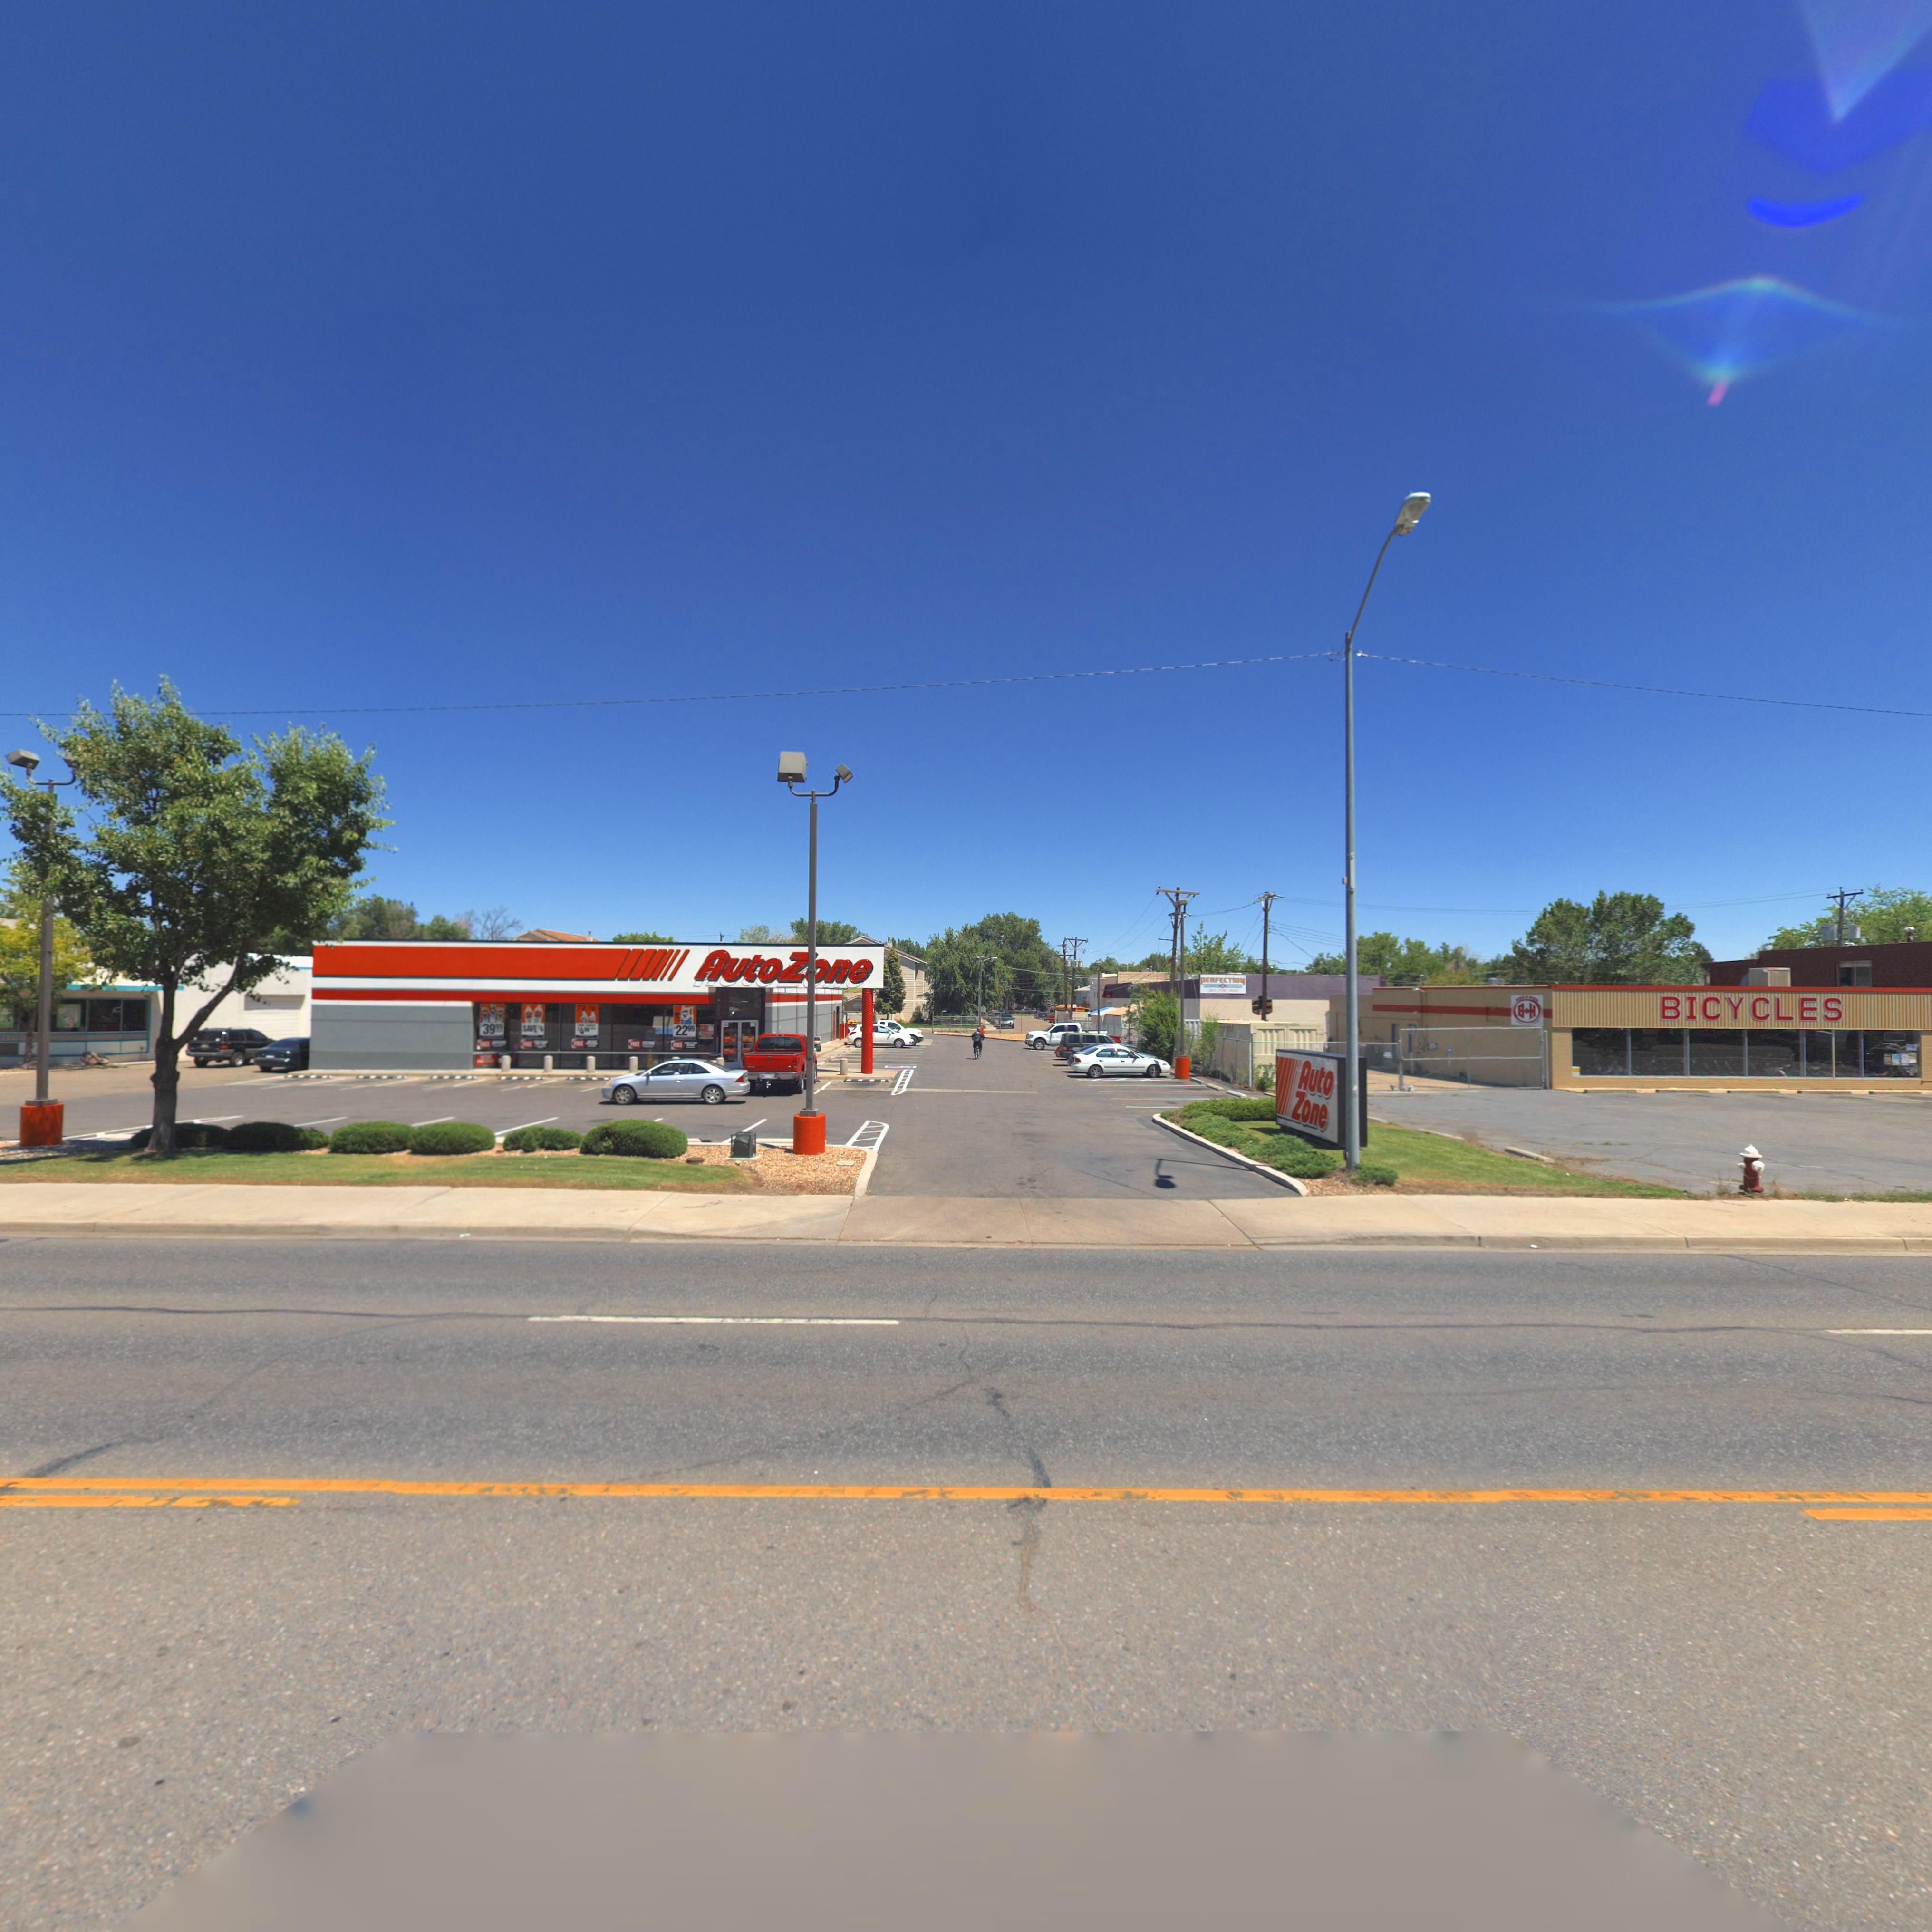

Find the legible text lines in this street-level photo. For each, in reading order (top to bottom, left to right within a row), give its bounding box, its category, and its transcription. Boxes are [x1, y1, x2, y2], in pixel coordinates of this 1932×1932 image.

[691, 948, 874, 983] BusinessName: AutoZ*ne
[1200, 977, 1246, 986] BusinessName: PERFECTION
[1295, 1059, 1336, 1100] BusinessName: Auto
[1290, 1089, 1330, 1132] BusinessName: Zone